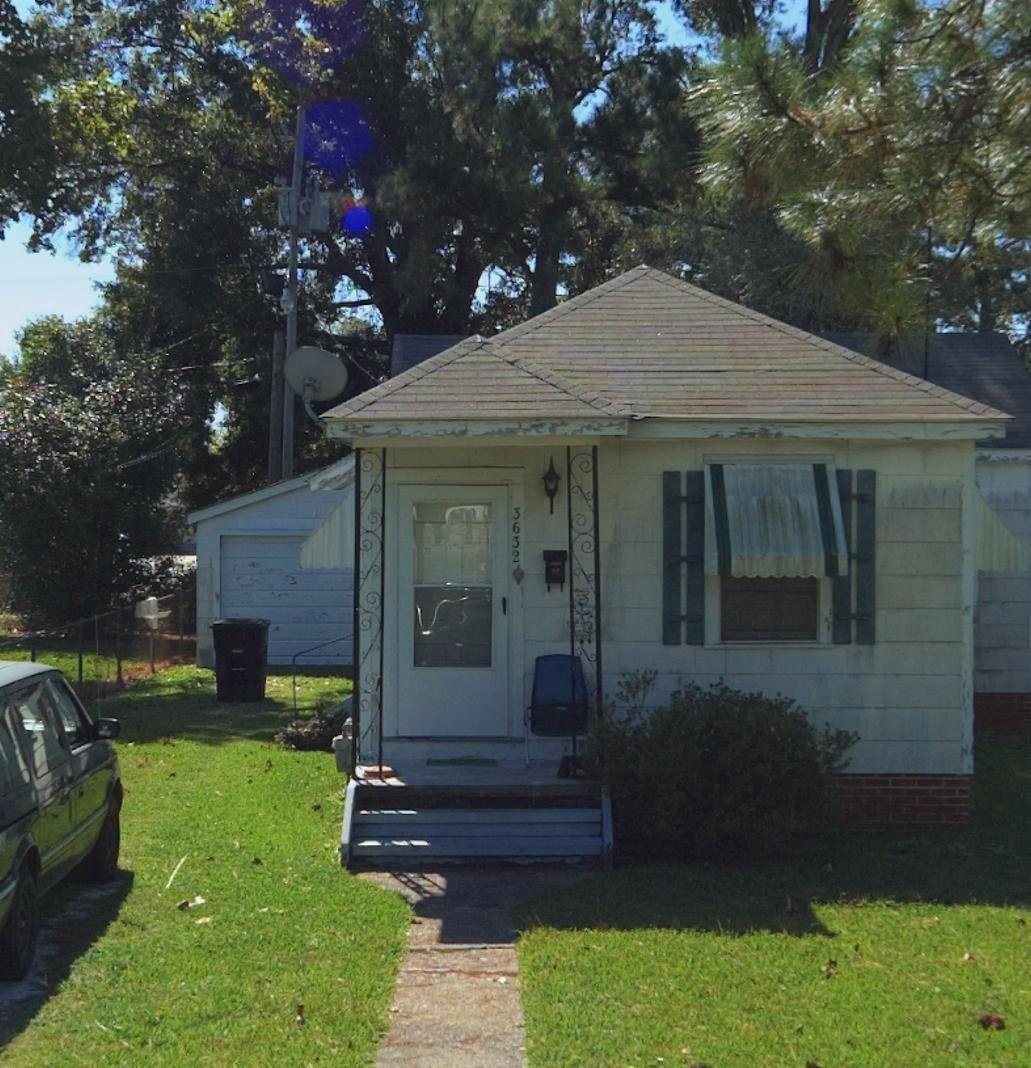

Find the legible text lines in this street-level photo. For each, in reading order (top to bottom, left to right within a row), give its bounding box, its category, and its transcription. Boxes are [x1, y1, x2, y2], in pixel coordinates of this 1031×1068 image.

[511, 505, 522, 564] StreetNumber: 3632